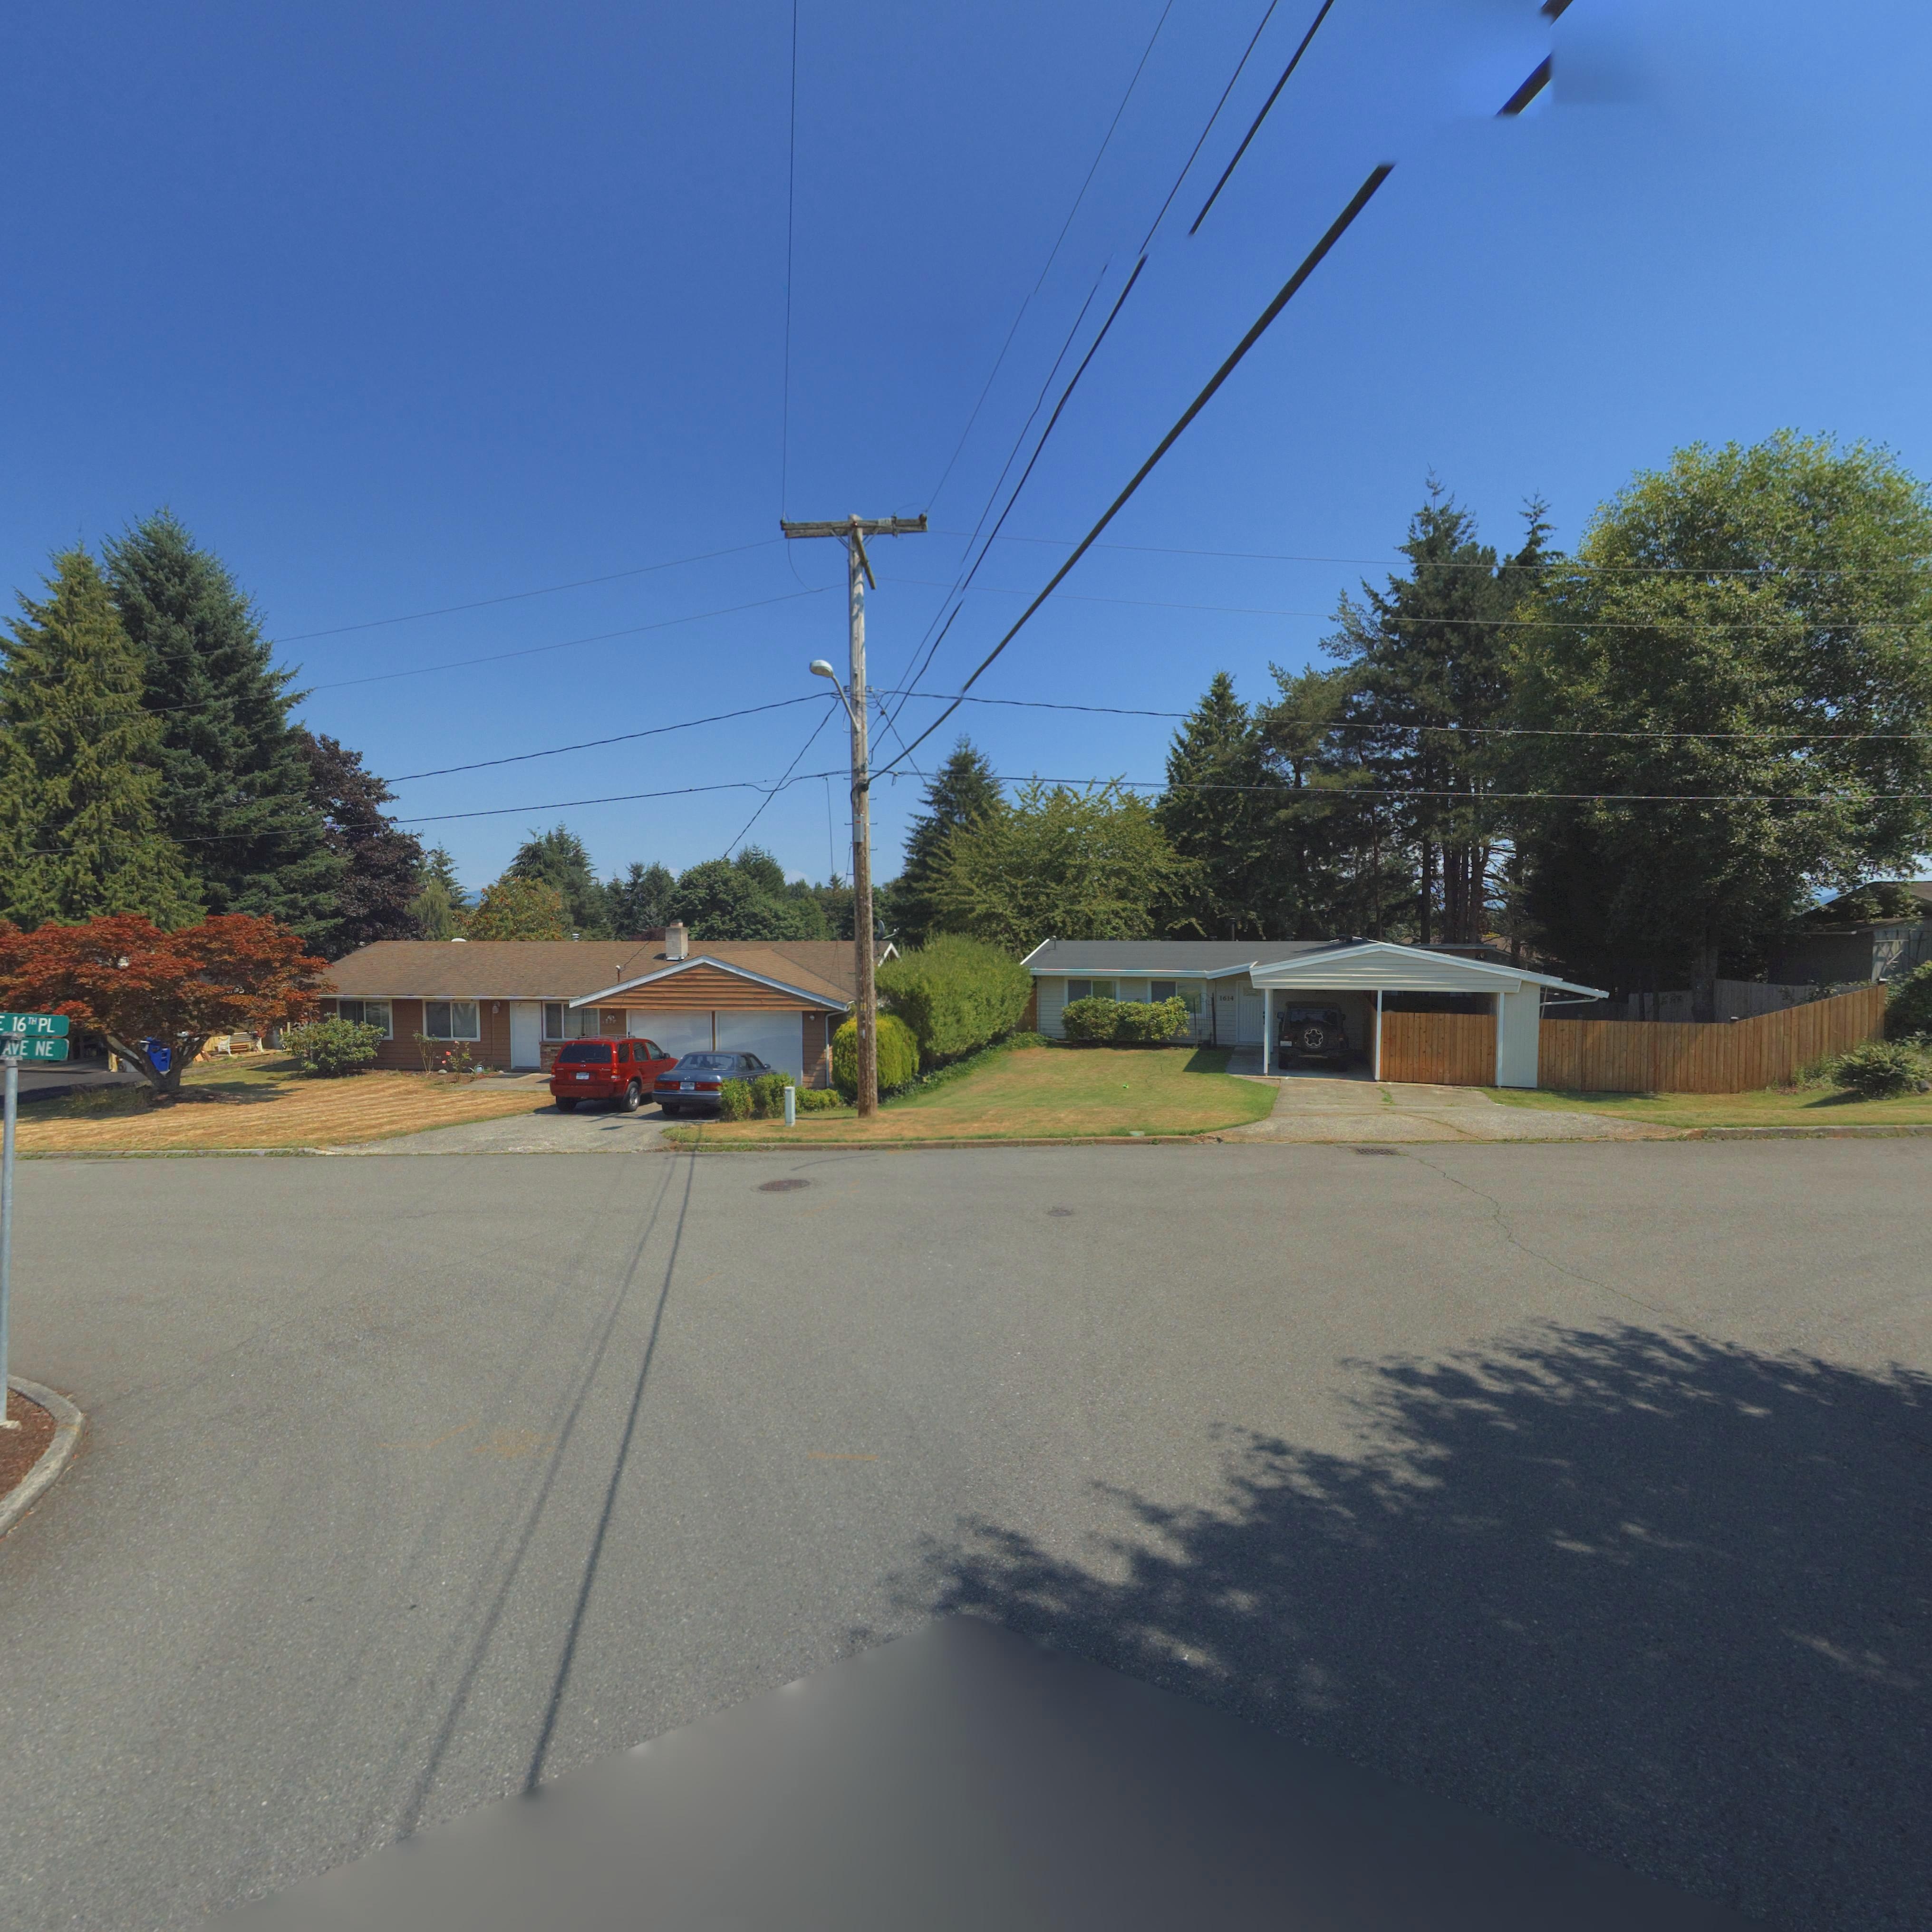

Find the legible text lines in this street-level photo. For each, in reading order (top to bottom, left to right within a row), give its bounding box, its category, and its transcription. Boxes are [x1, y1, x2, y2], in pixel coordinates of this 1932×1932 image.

[0, 1013, 56, 1034] None: * 16th PL
[0, 1041, 54, 1058] StreetName: AVE NE